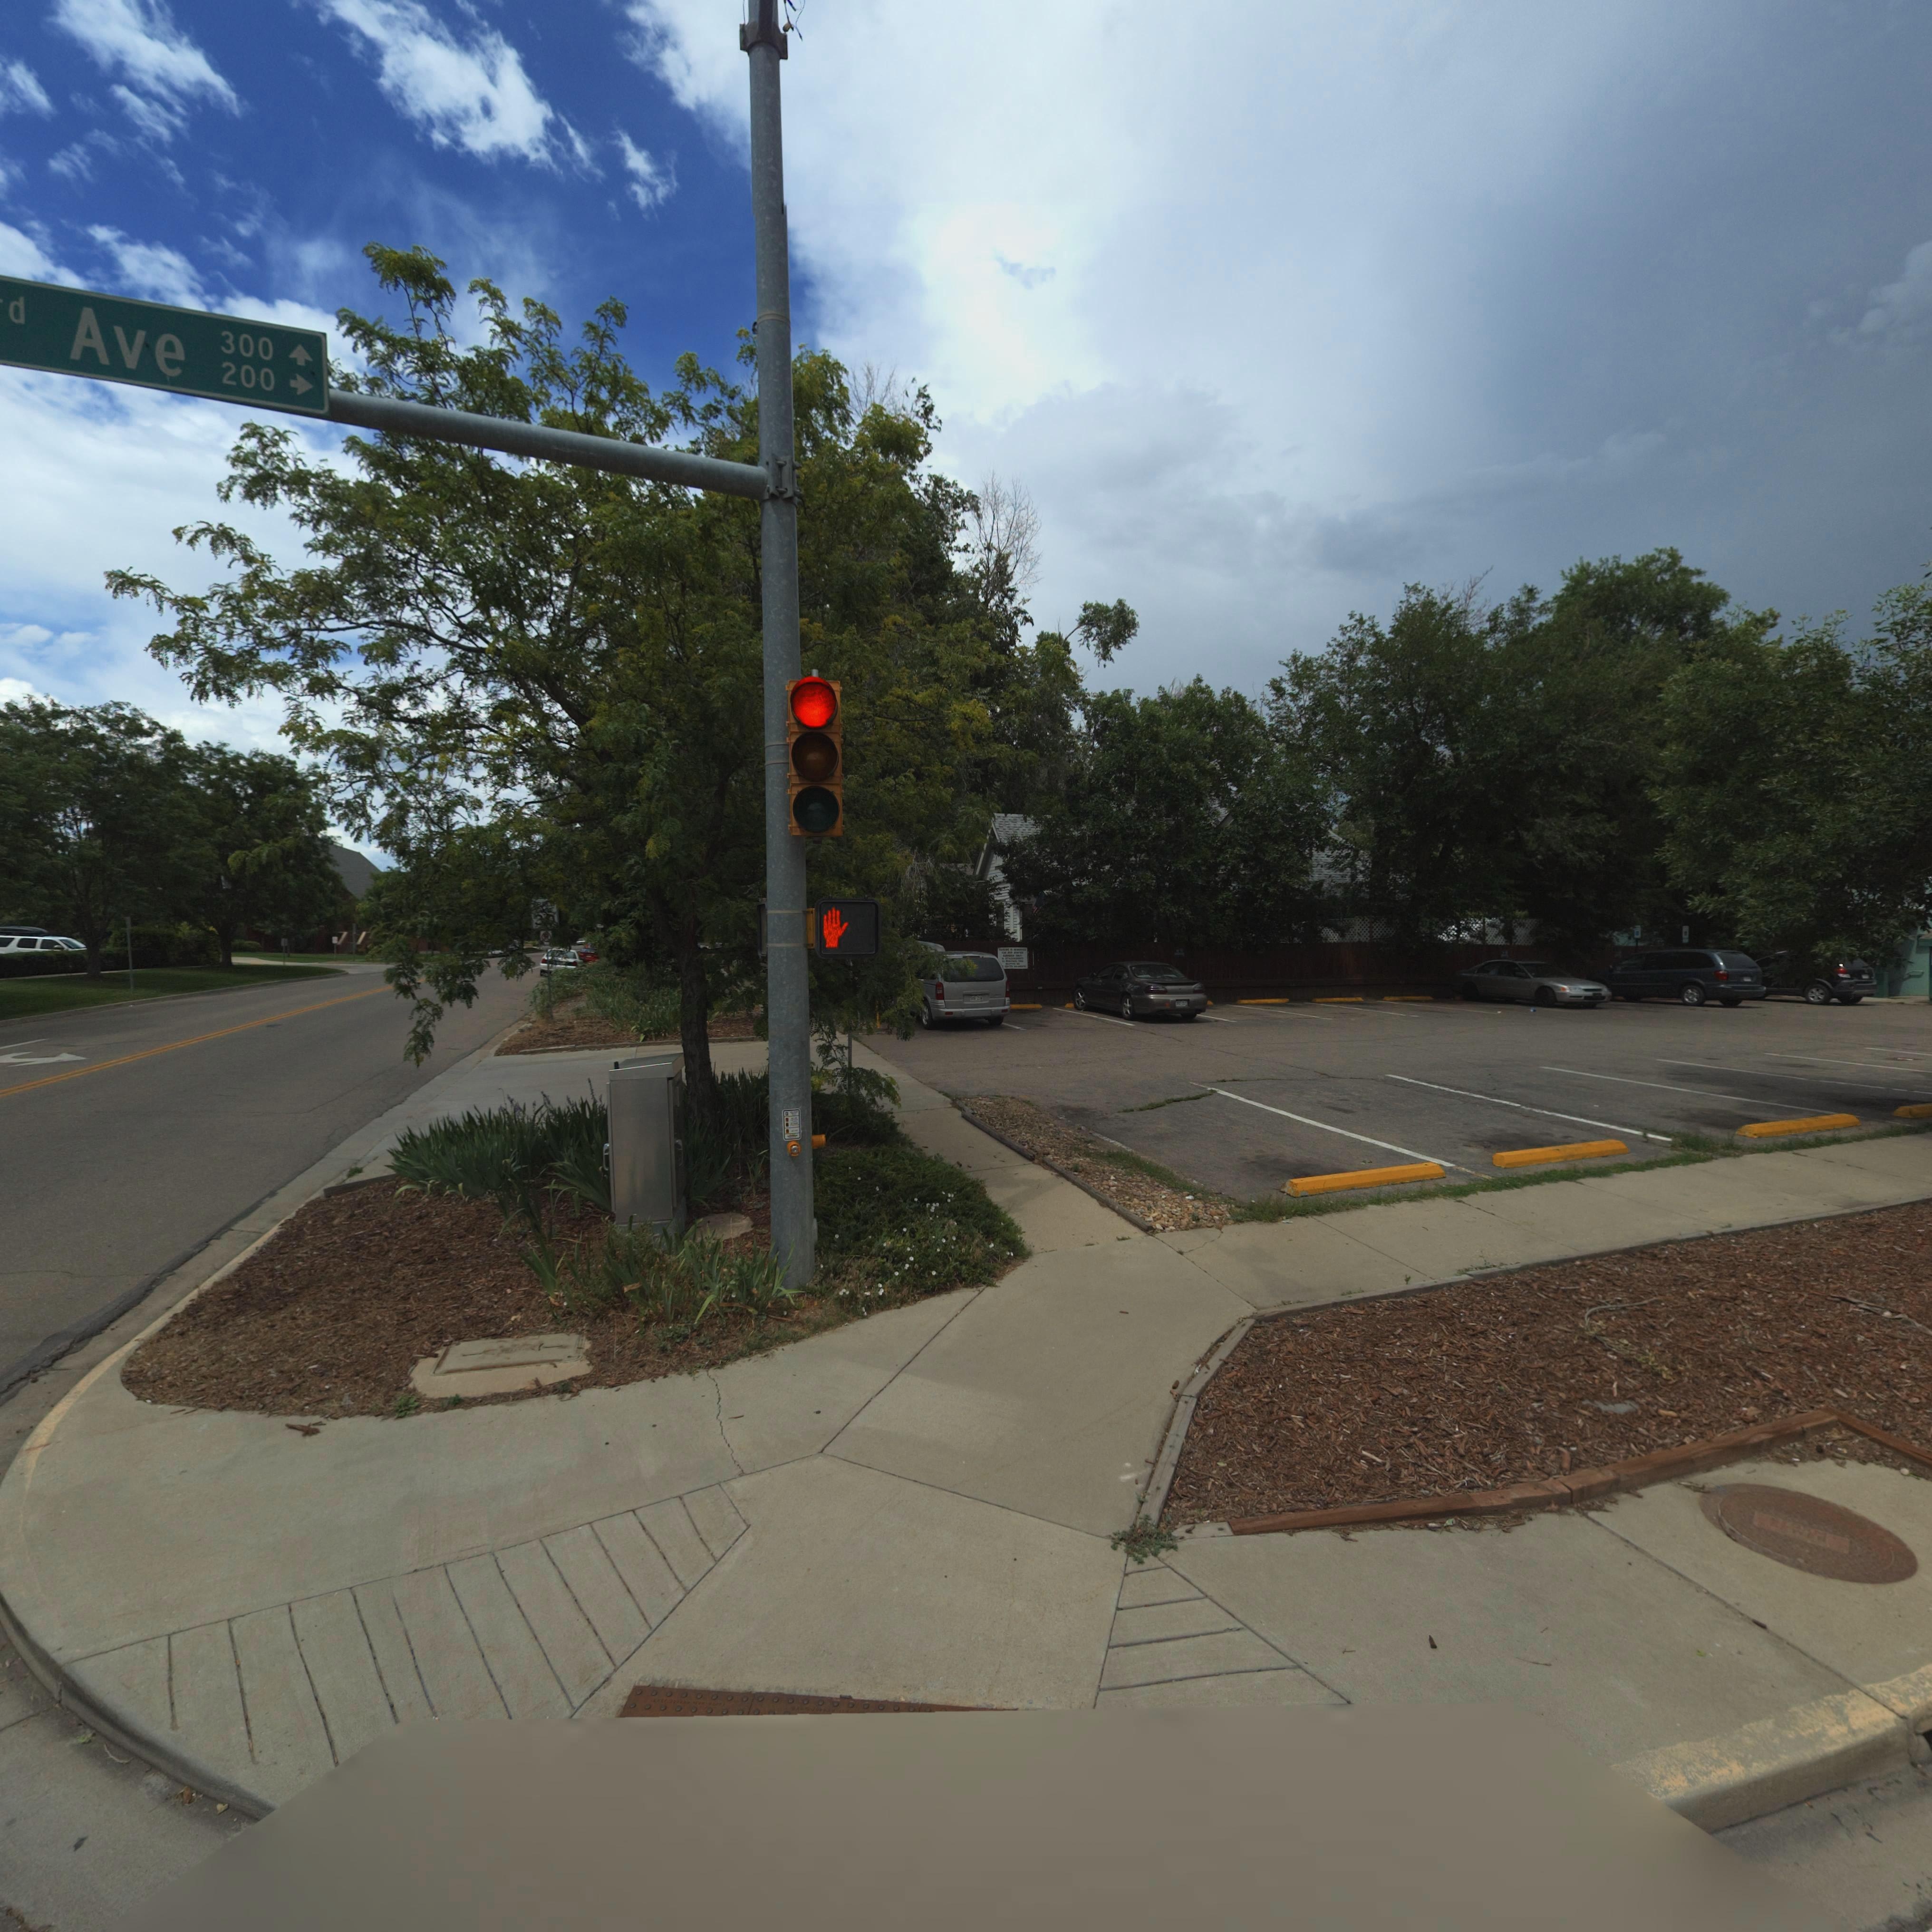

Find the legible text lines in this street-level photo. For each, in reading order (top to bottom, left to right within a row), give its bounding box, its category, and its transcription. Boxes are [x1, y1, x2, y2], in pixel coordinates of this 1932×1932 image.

[7, 294, 187, 379] StreetName: d Ave
[219, 330, 274, 361] StreetNumberRange: 300
[221, 360, 315, 396] StreetNumberRange: 200->